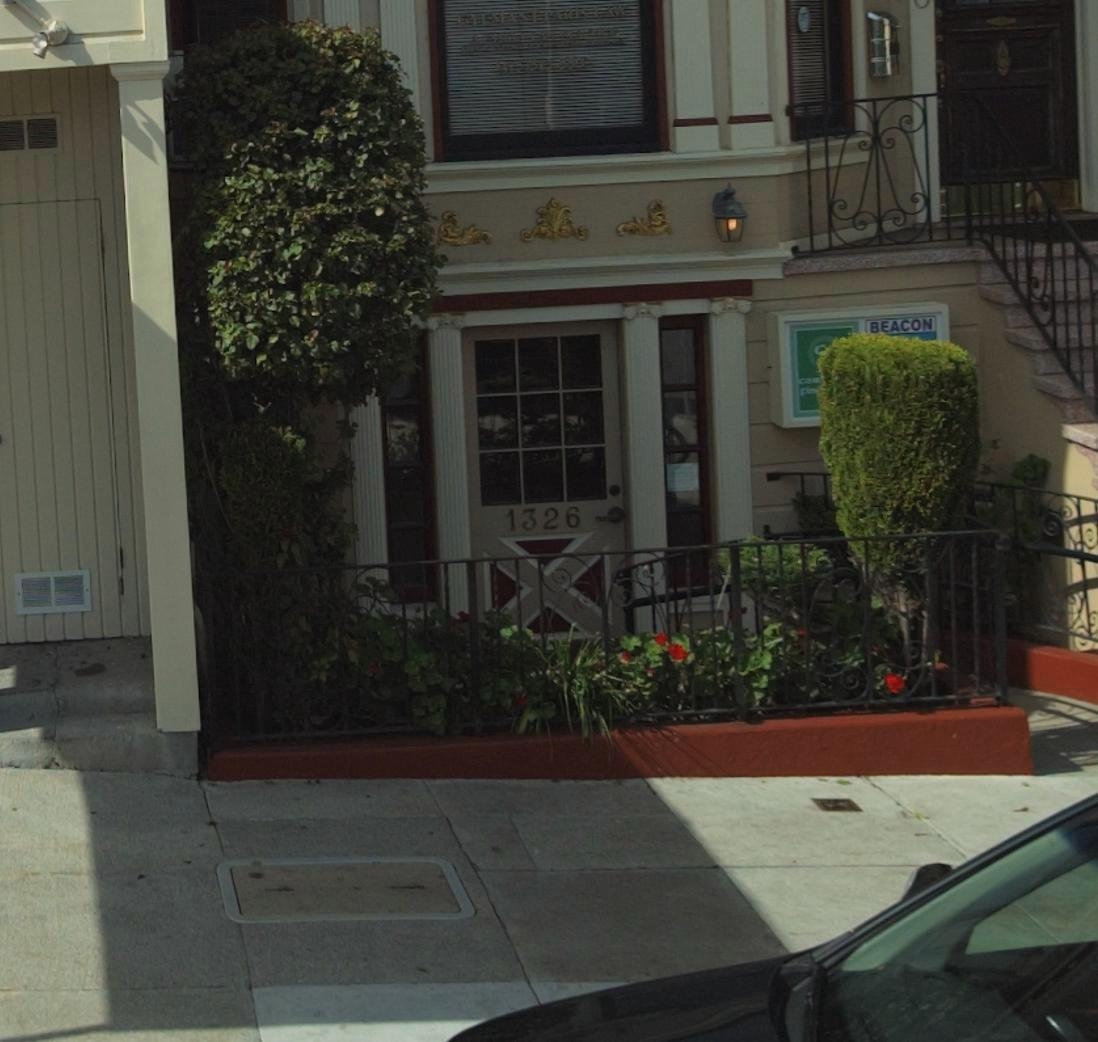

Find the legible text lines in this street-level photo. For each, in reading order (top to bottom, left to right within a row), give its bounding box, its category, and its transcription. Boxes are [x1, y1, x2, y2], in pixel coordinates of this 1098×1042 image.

[867, 315, 935, 335] None: BEACON
[504, 505, 583, 531] StreetNumber: 1326